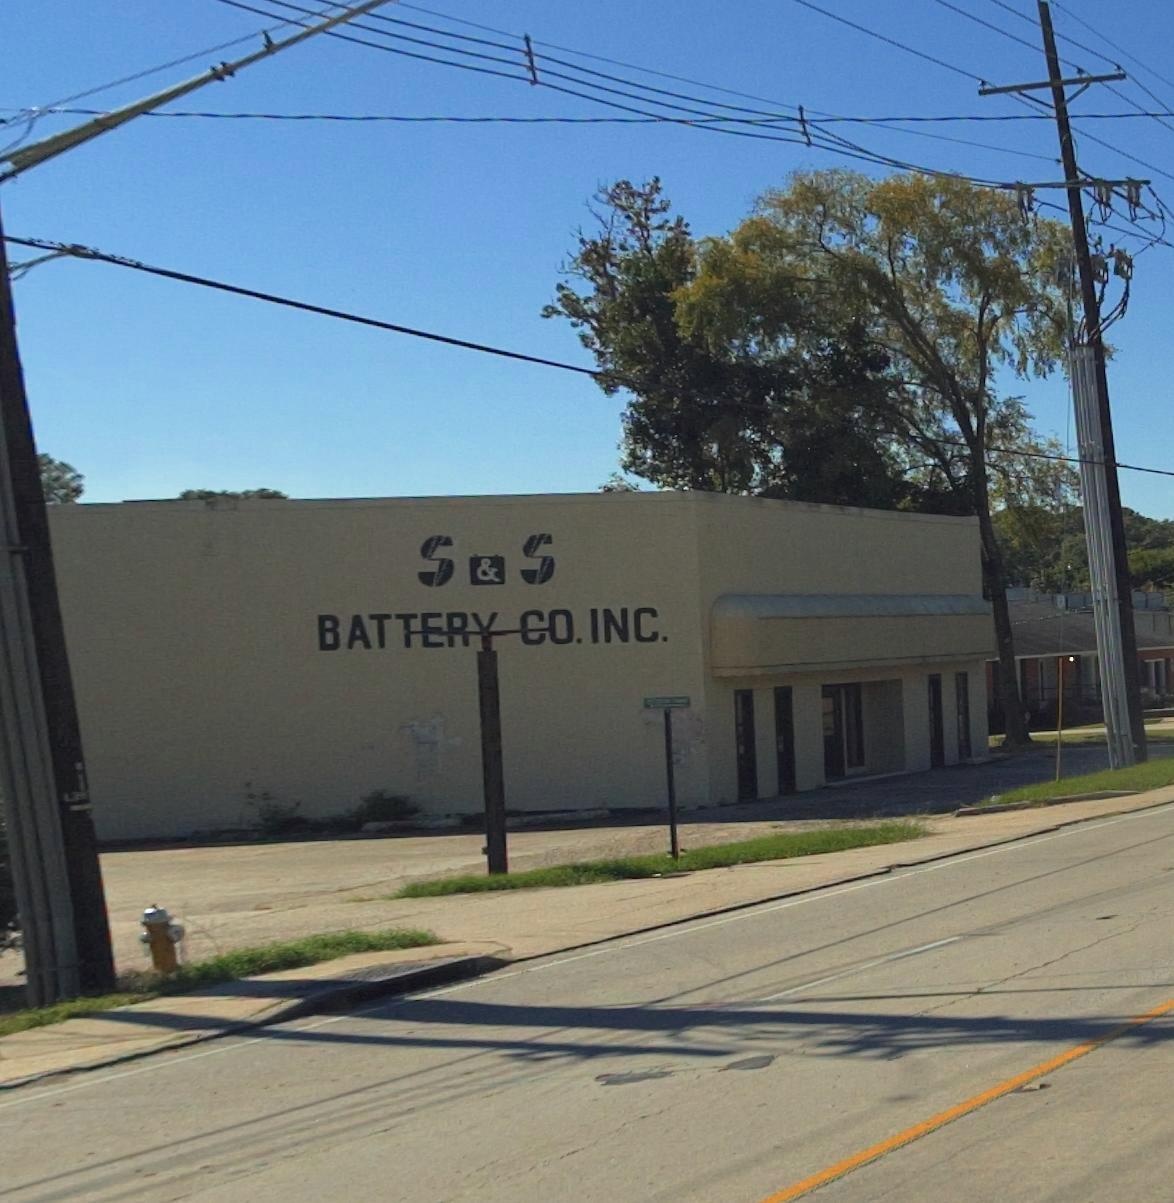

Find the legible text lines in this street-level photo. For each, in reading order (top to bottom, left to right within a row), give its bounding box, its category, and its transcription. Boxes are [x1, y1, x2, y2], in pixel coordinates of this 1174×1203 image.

[412, 531, 560, 591] None: S & S
[313, 602, 672, 654] BusinessName: BATT*****O.INC.